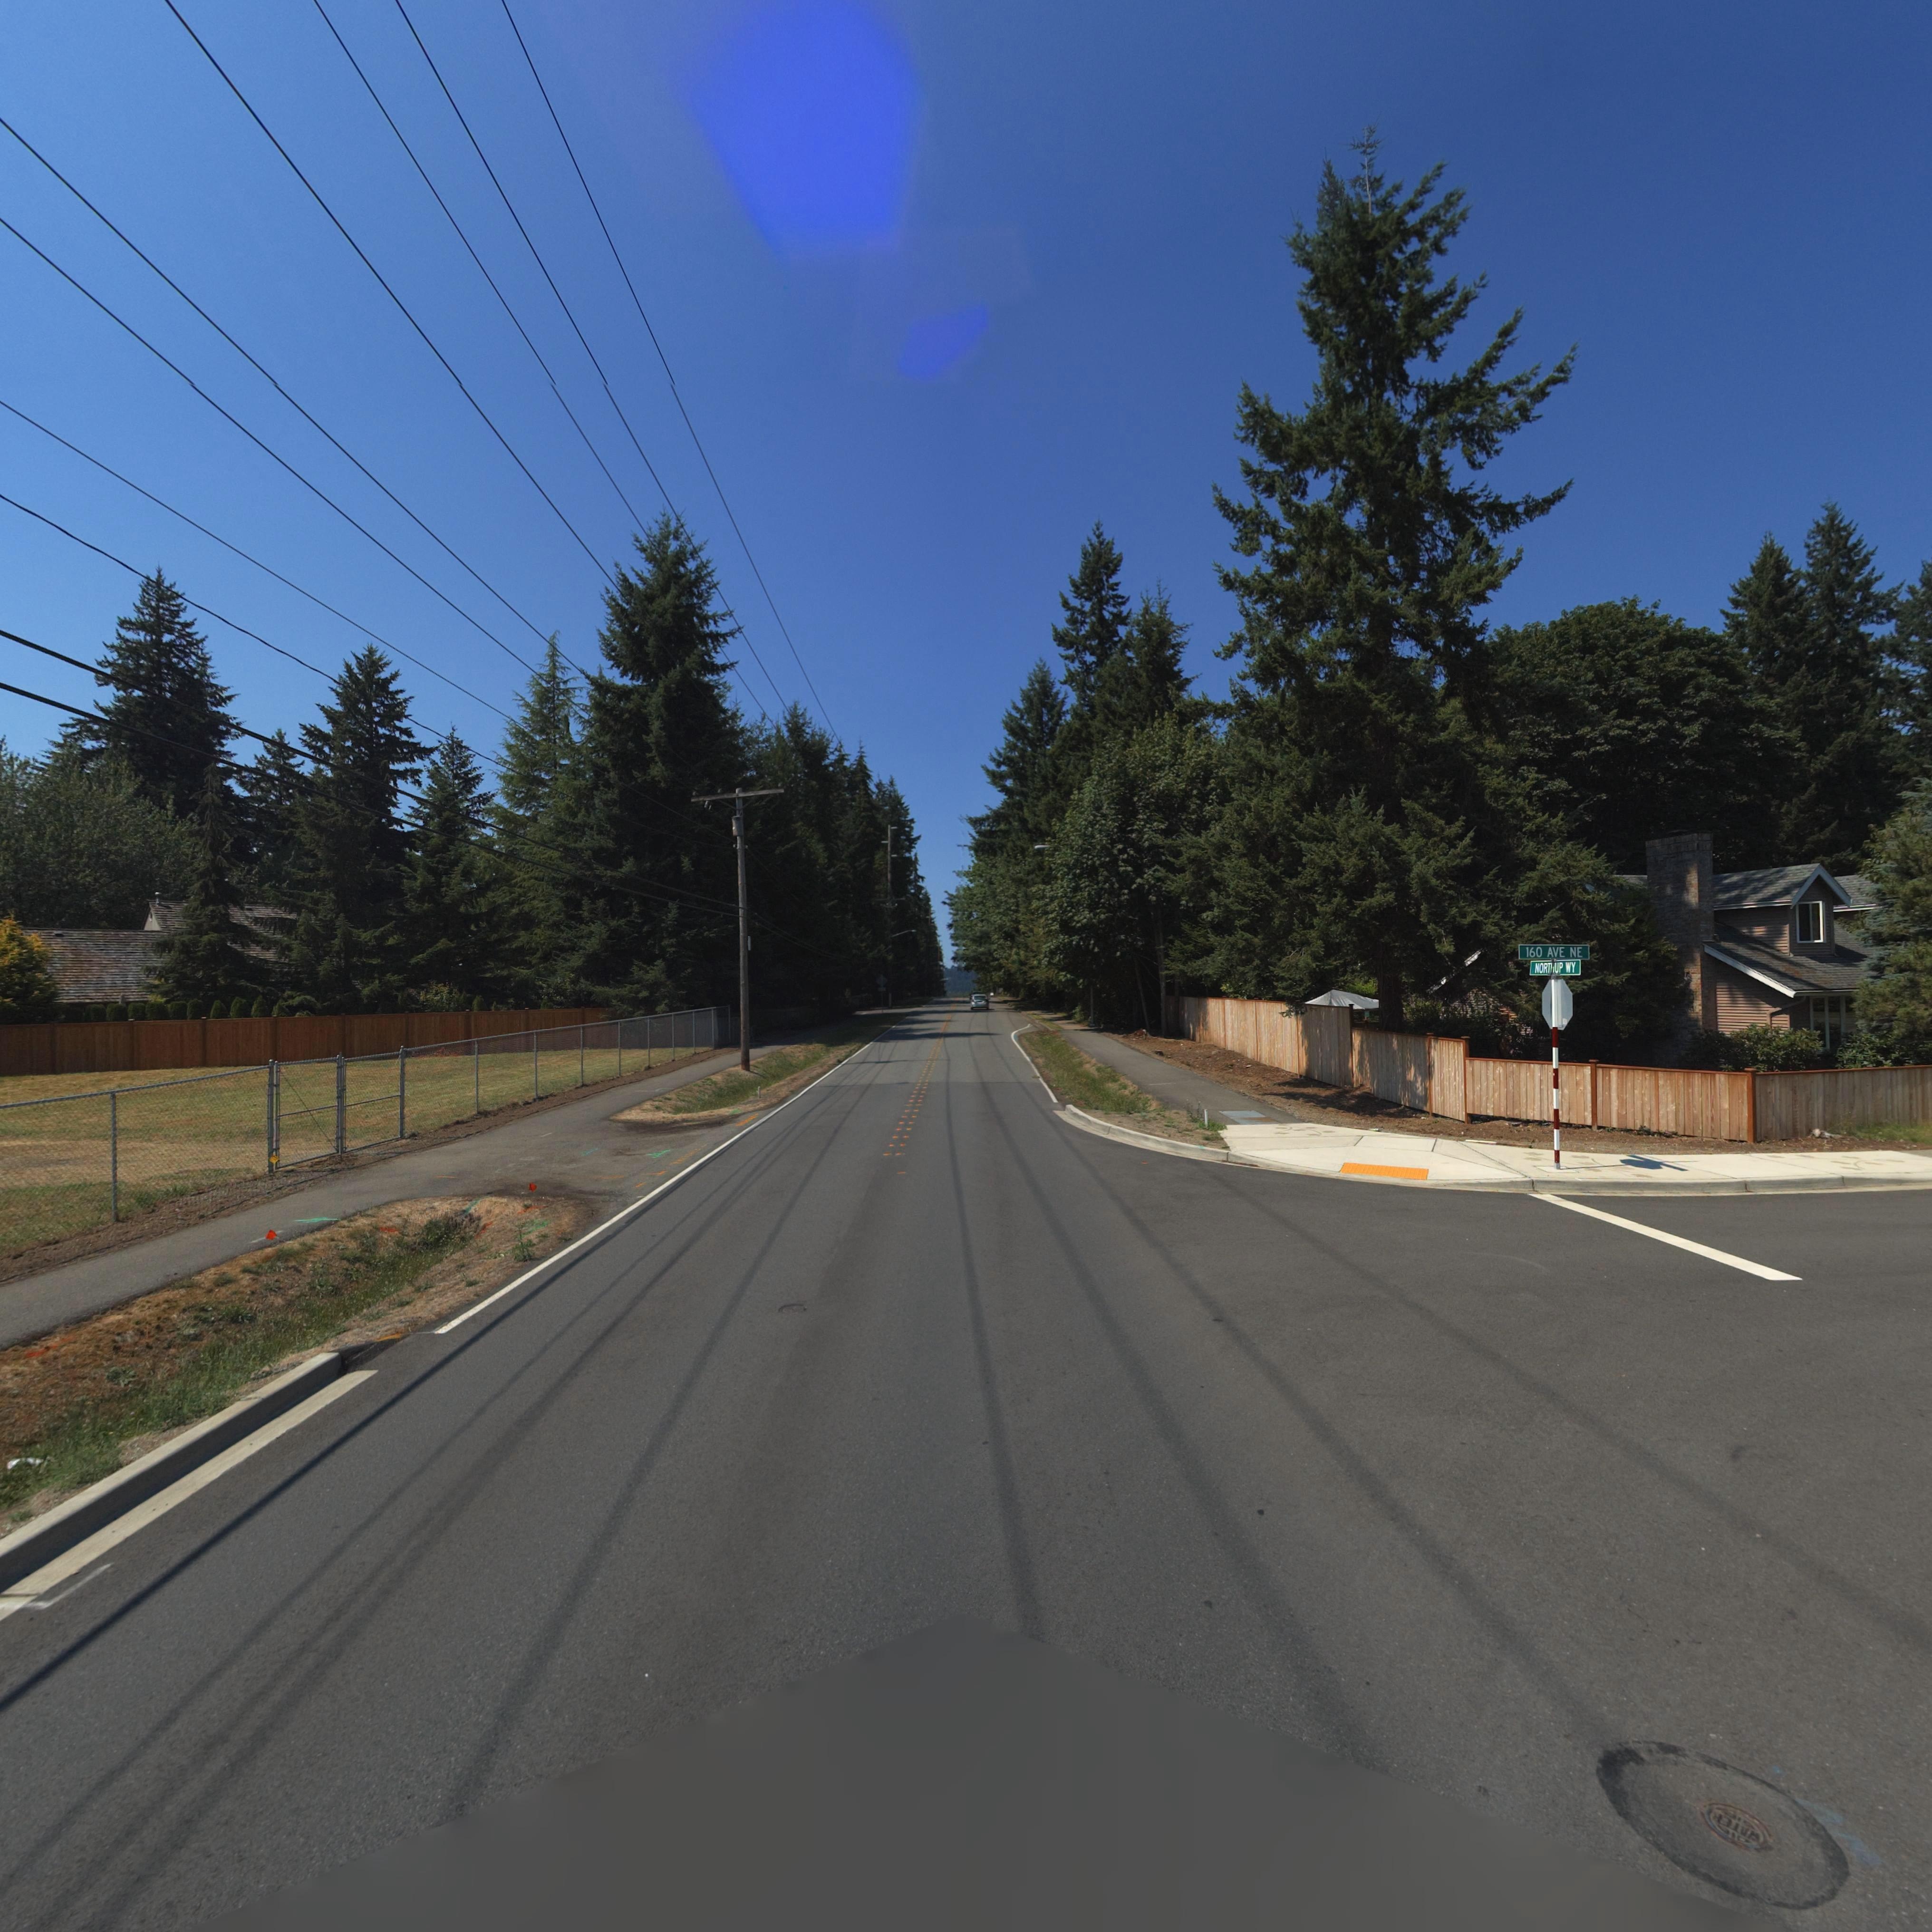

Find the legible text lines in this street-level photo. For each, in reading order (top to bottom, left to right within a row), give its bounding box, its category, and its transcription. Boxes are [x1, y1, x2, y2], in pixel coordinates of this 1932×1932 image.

[1526, 946, 1583, 957] StreetName: 160 AVE NE
[1535, 962, 1575, 974] StreetName: NORIJP WY